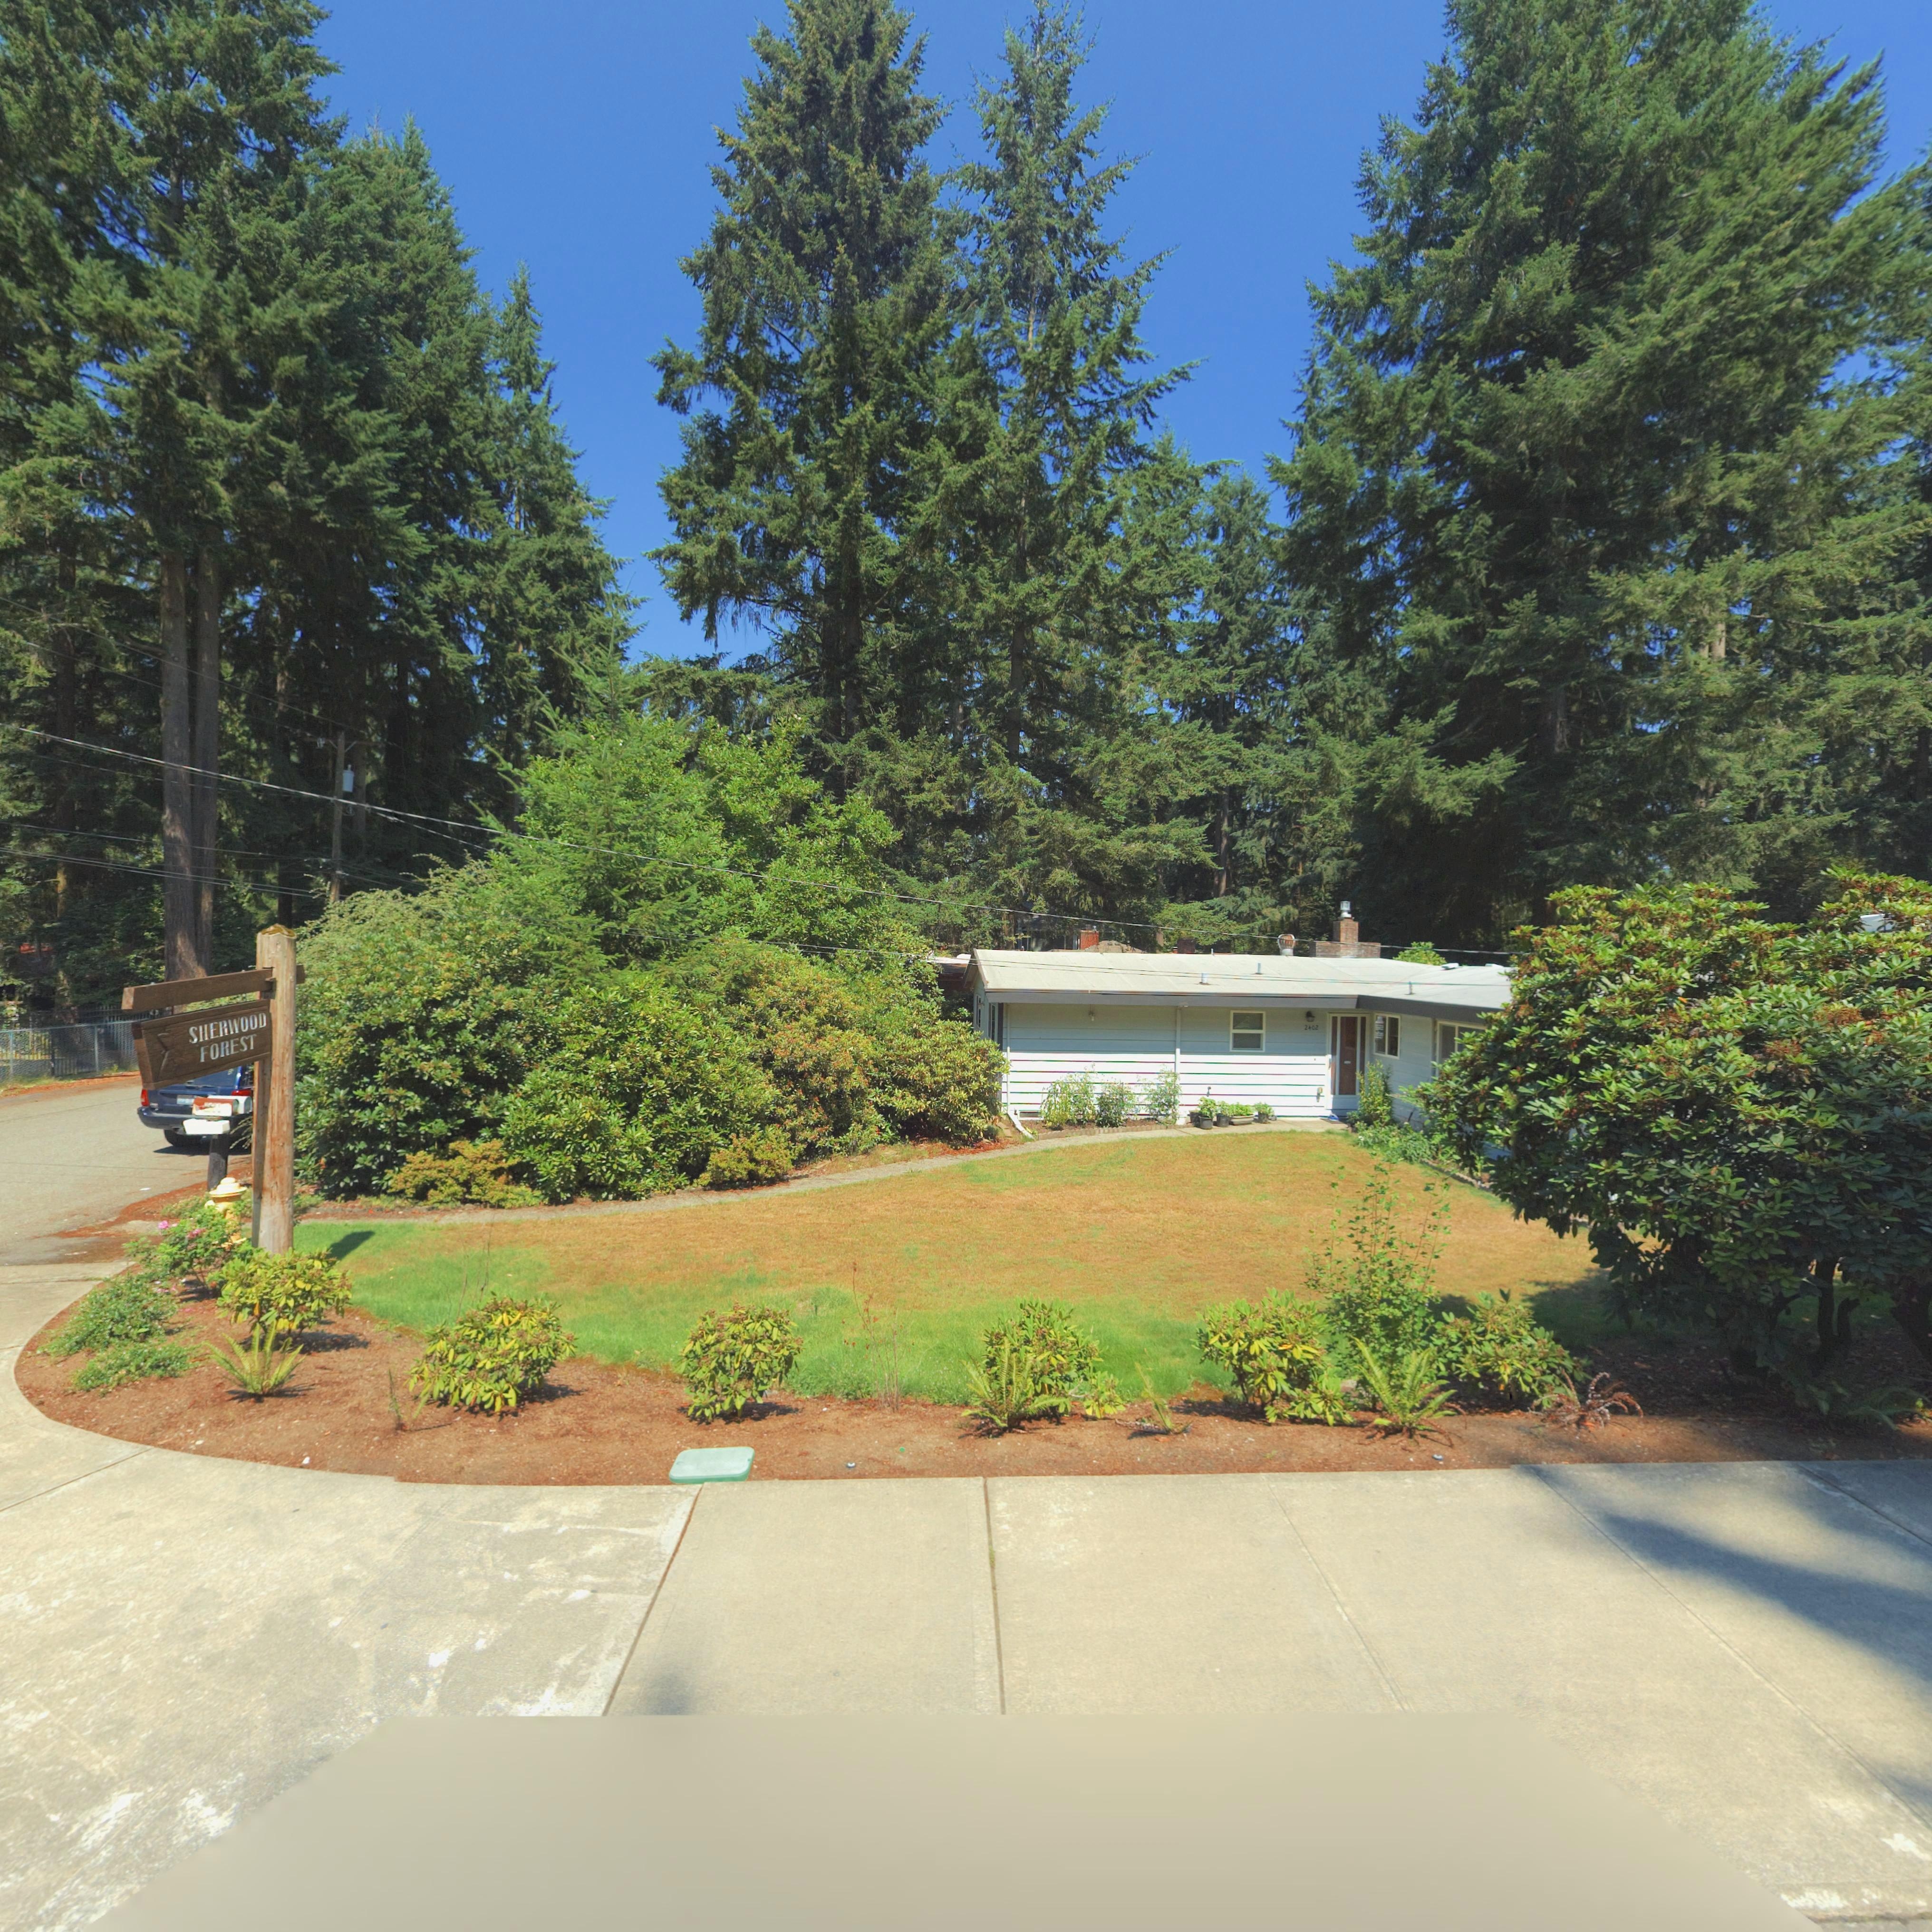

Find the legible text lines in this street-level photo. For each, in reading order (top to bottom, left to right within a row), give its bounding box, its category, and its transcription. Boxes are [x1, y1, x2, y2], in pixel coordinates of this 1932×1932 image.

[1304, 1024, 1318, 1030] StreetNumber: 2402